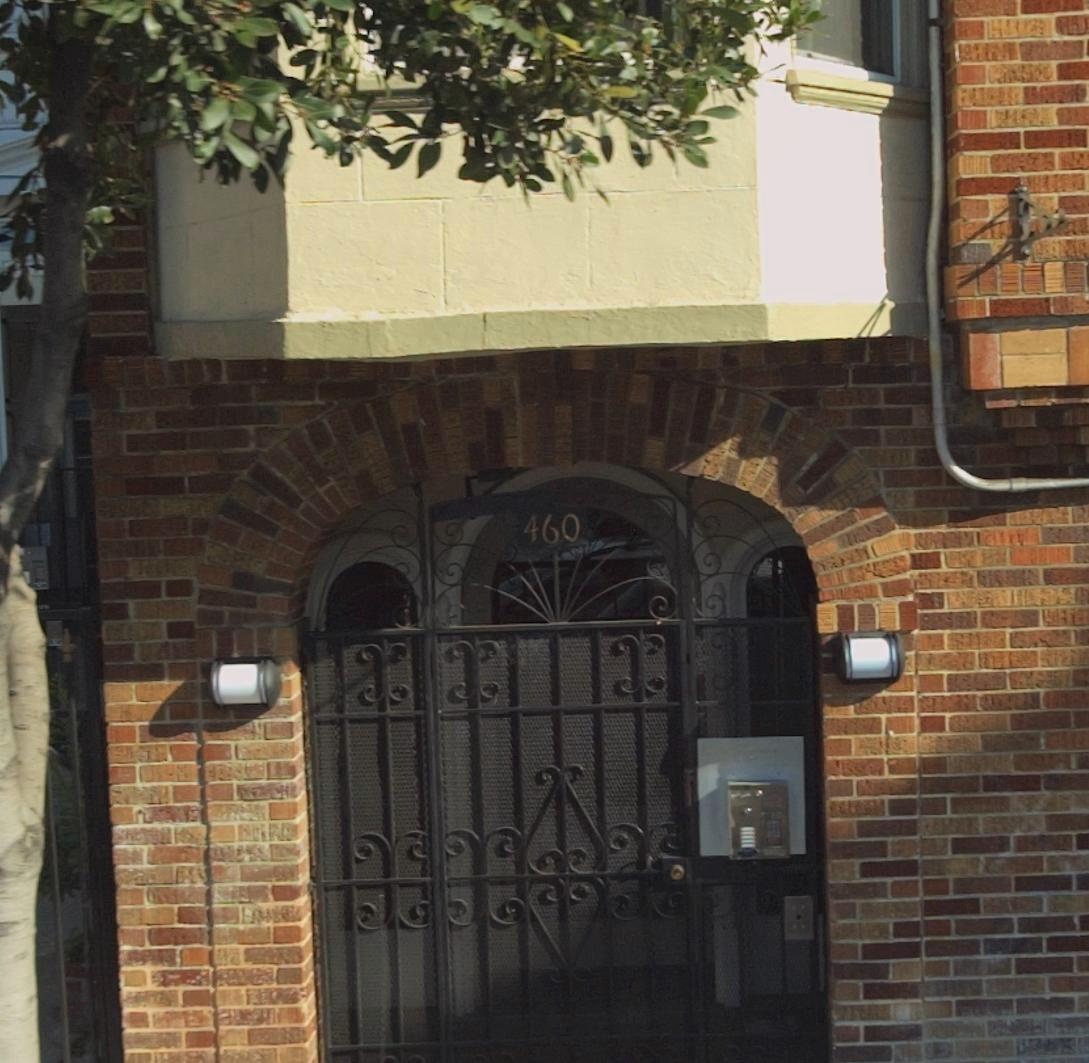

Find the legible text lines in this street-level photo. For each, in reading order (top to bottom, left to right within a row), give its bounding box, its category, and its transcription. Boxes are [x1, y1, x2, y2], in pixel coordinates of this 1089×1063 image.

[523, 511, 582, 545] StreetNumber: 460